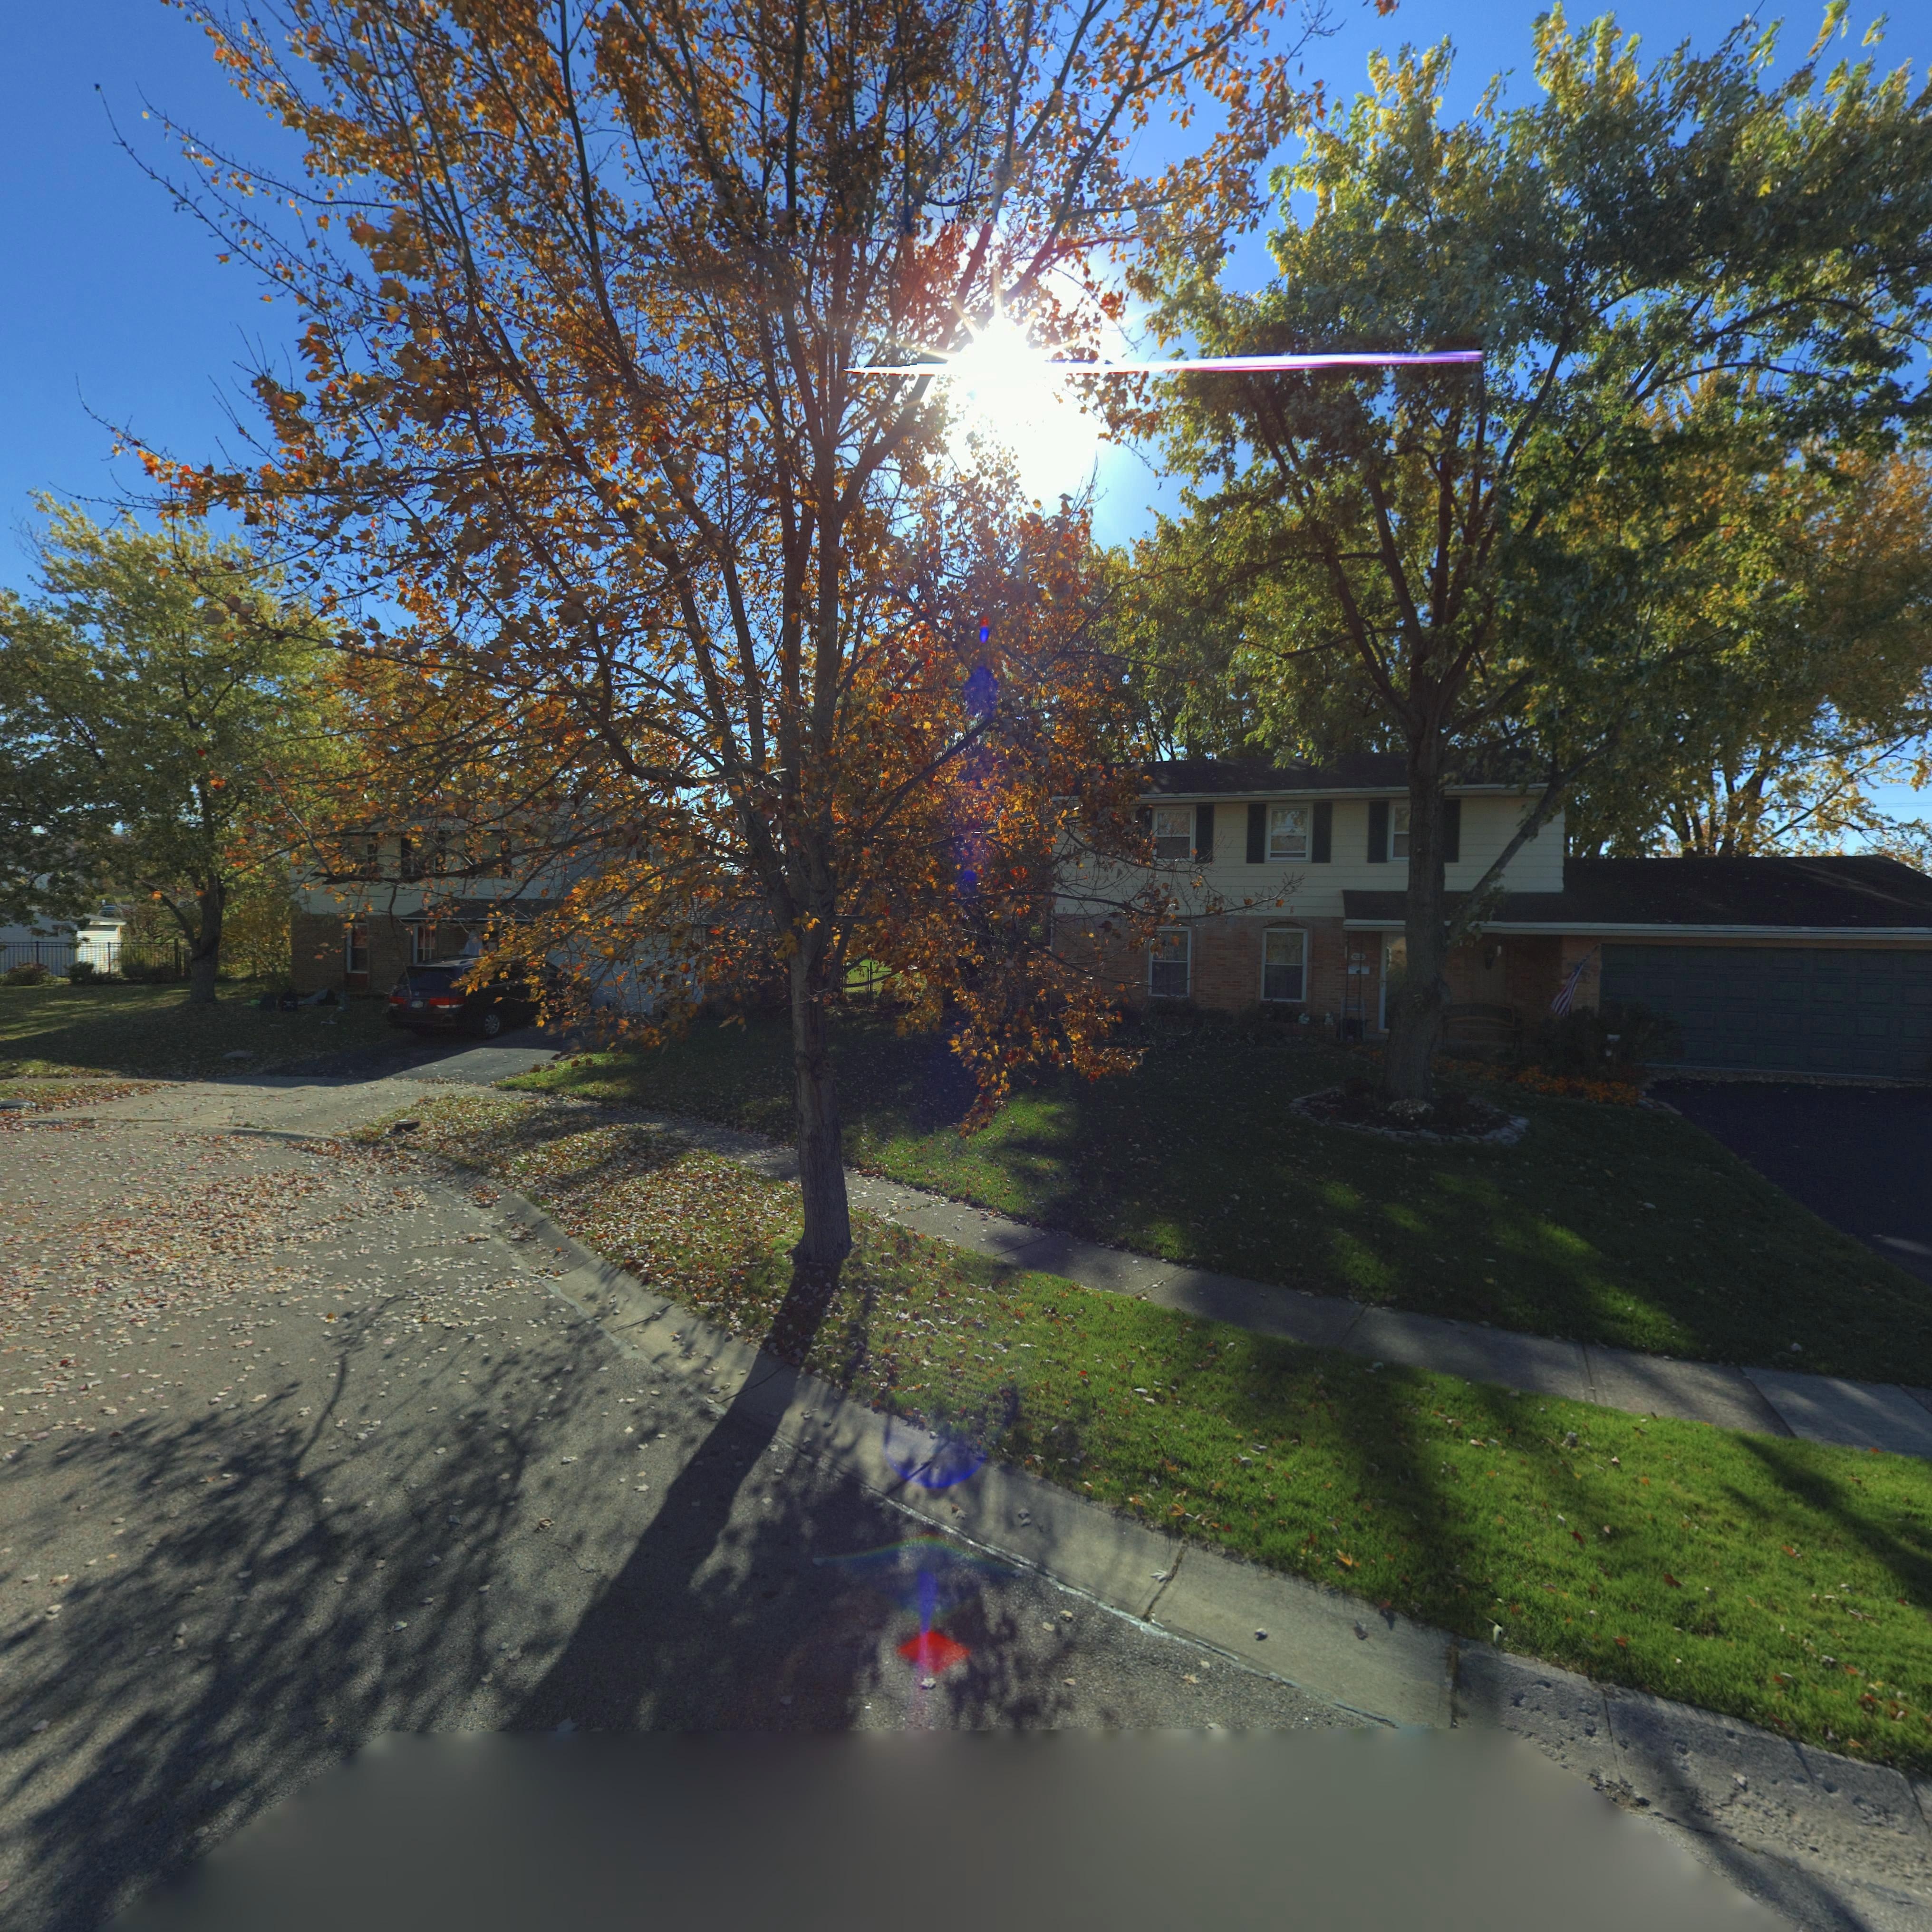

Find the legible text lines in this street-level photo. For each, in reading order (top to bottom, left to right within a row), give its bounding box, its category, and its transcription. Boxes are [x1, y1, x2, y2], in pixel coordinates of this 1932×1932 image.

[1352, 954, 1365, 960] StreetNumber: 70*0